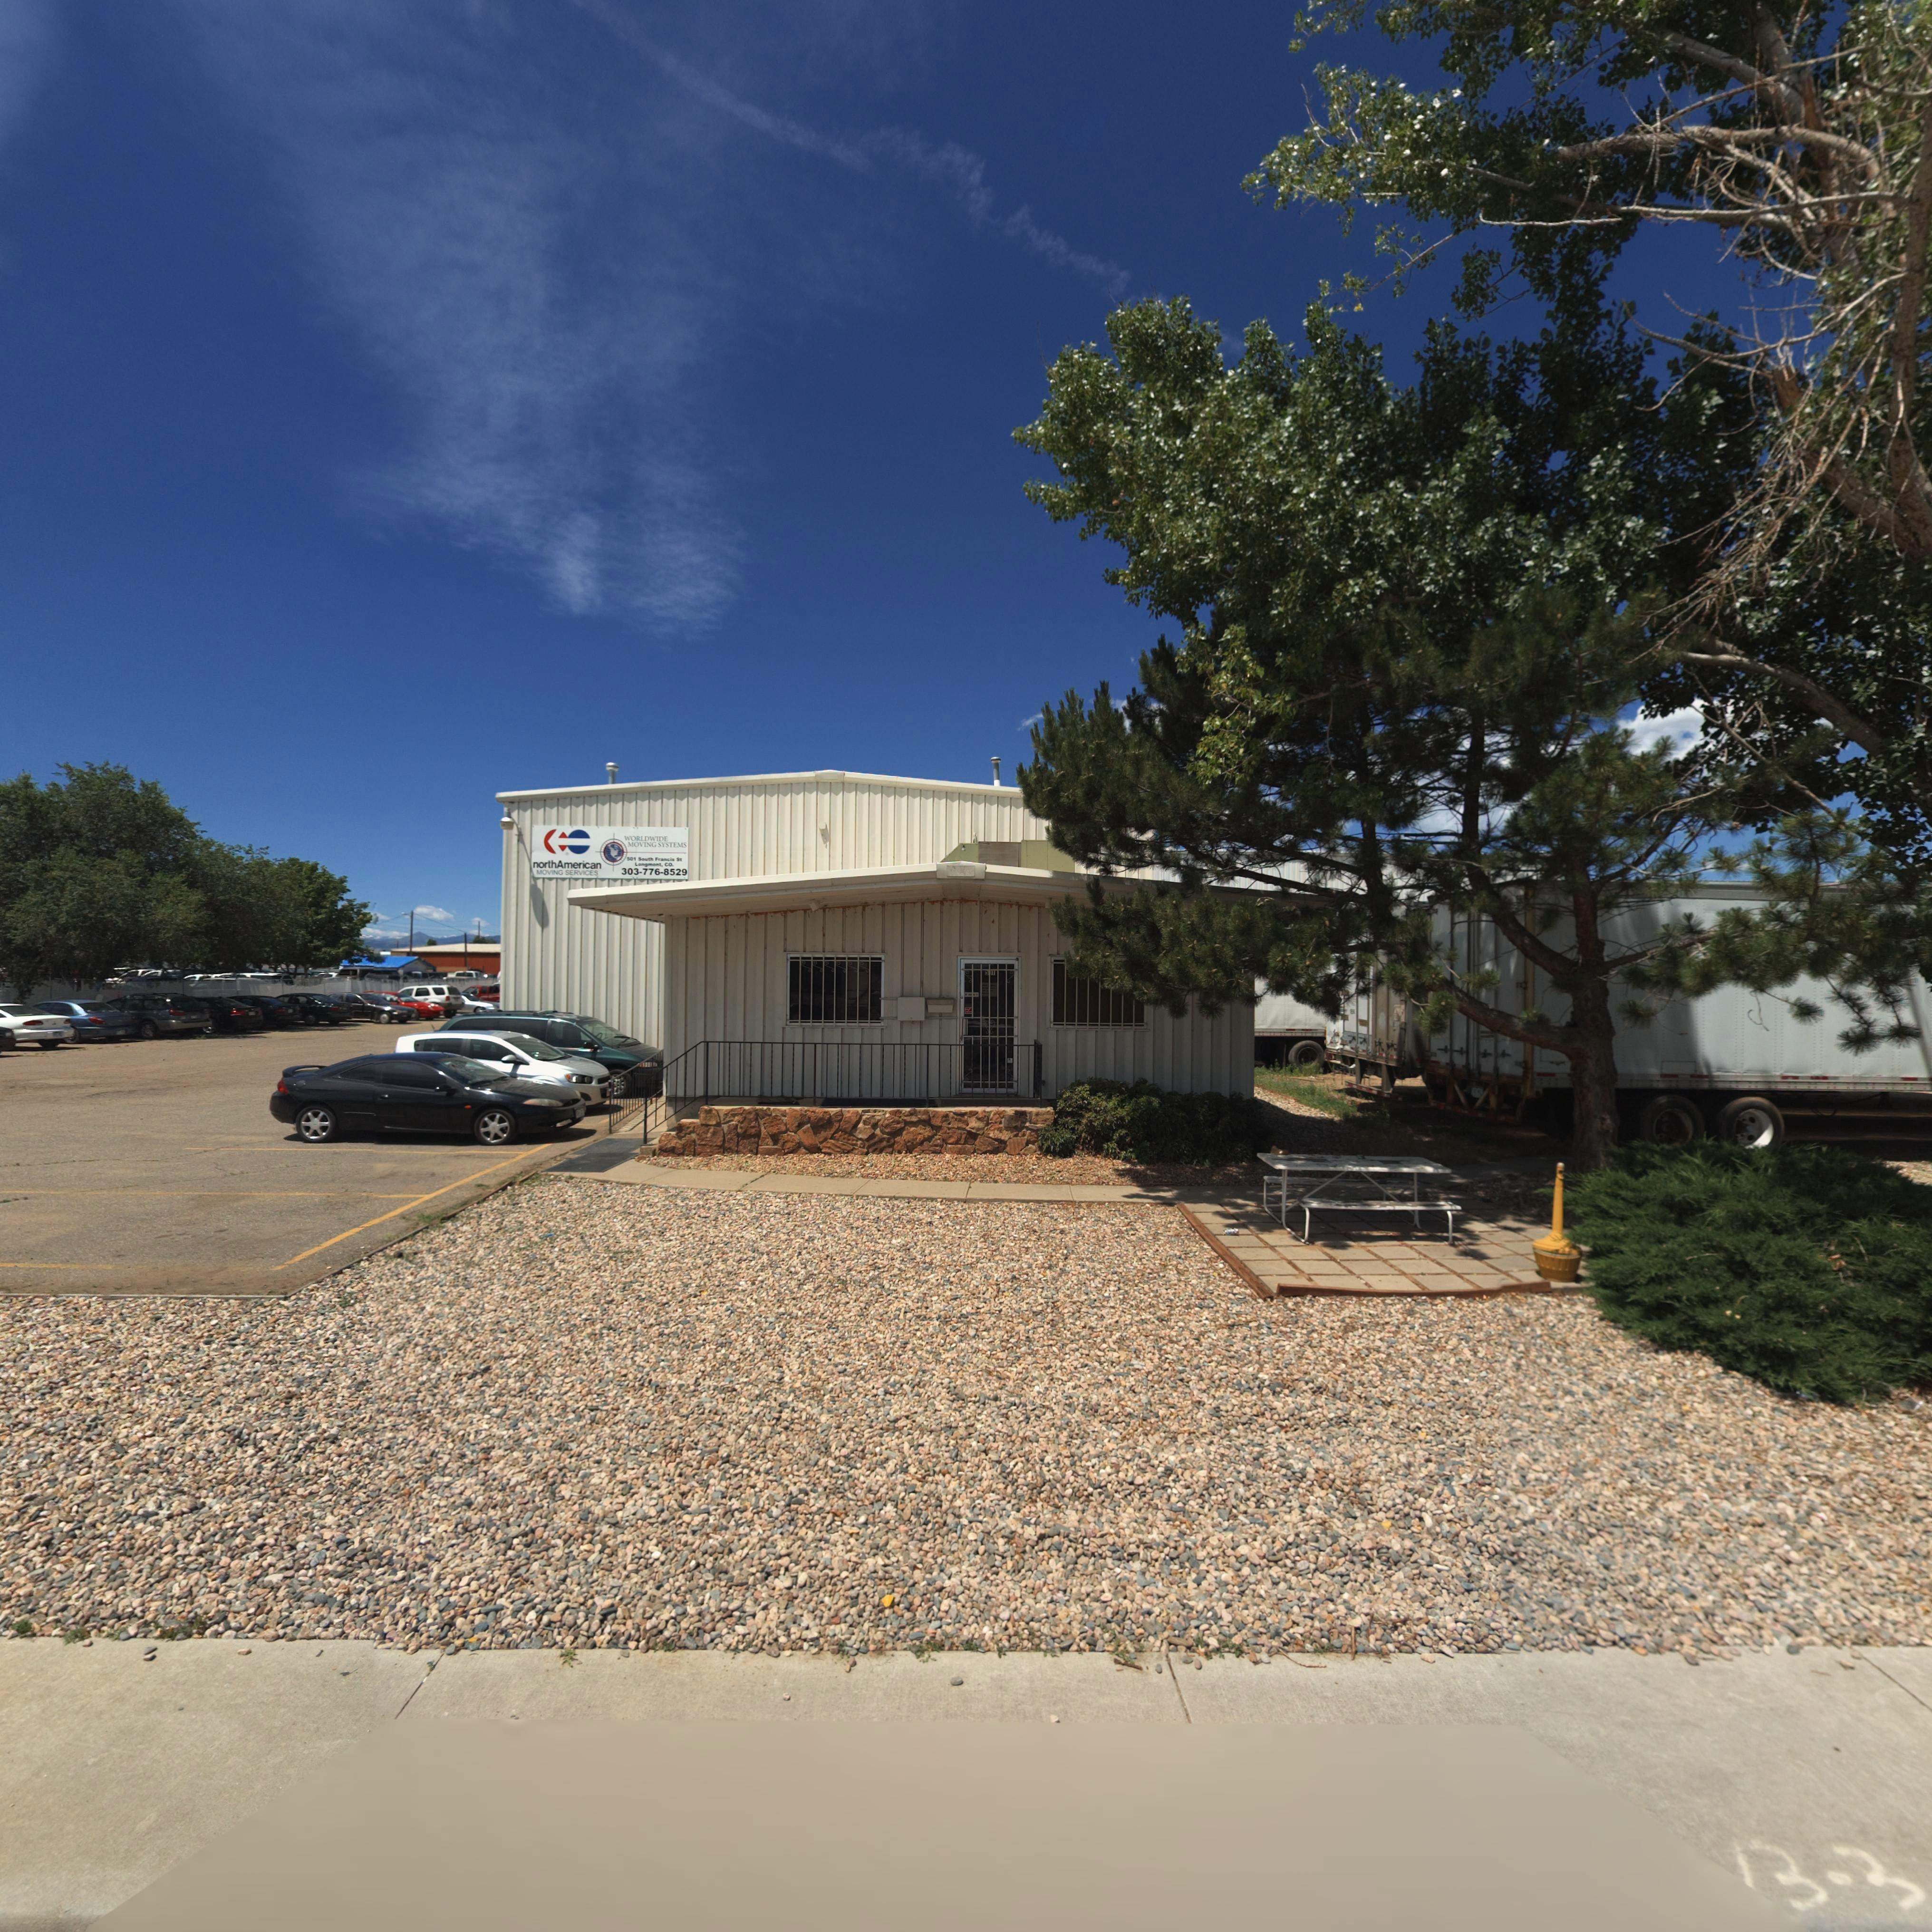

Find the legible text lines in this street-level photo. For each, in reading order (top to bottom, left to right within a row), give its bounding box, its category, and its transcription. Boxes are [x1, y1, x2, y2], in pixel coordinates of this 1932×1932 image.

[624, 835, 667, 841] BusinessName: WORLDWIDE
[627, 841, 687, 848] BusinessName: MOVING SYSTEMS
[627, 856, 636, 861] StreetNumber: 501
[638, 856, 682, 861] StreetName: South Francis St
[984, 969, 994, 975] StreetNumber: **1